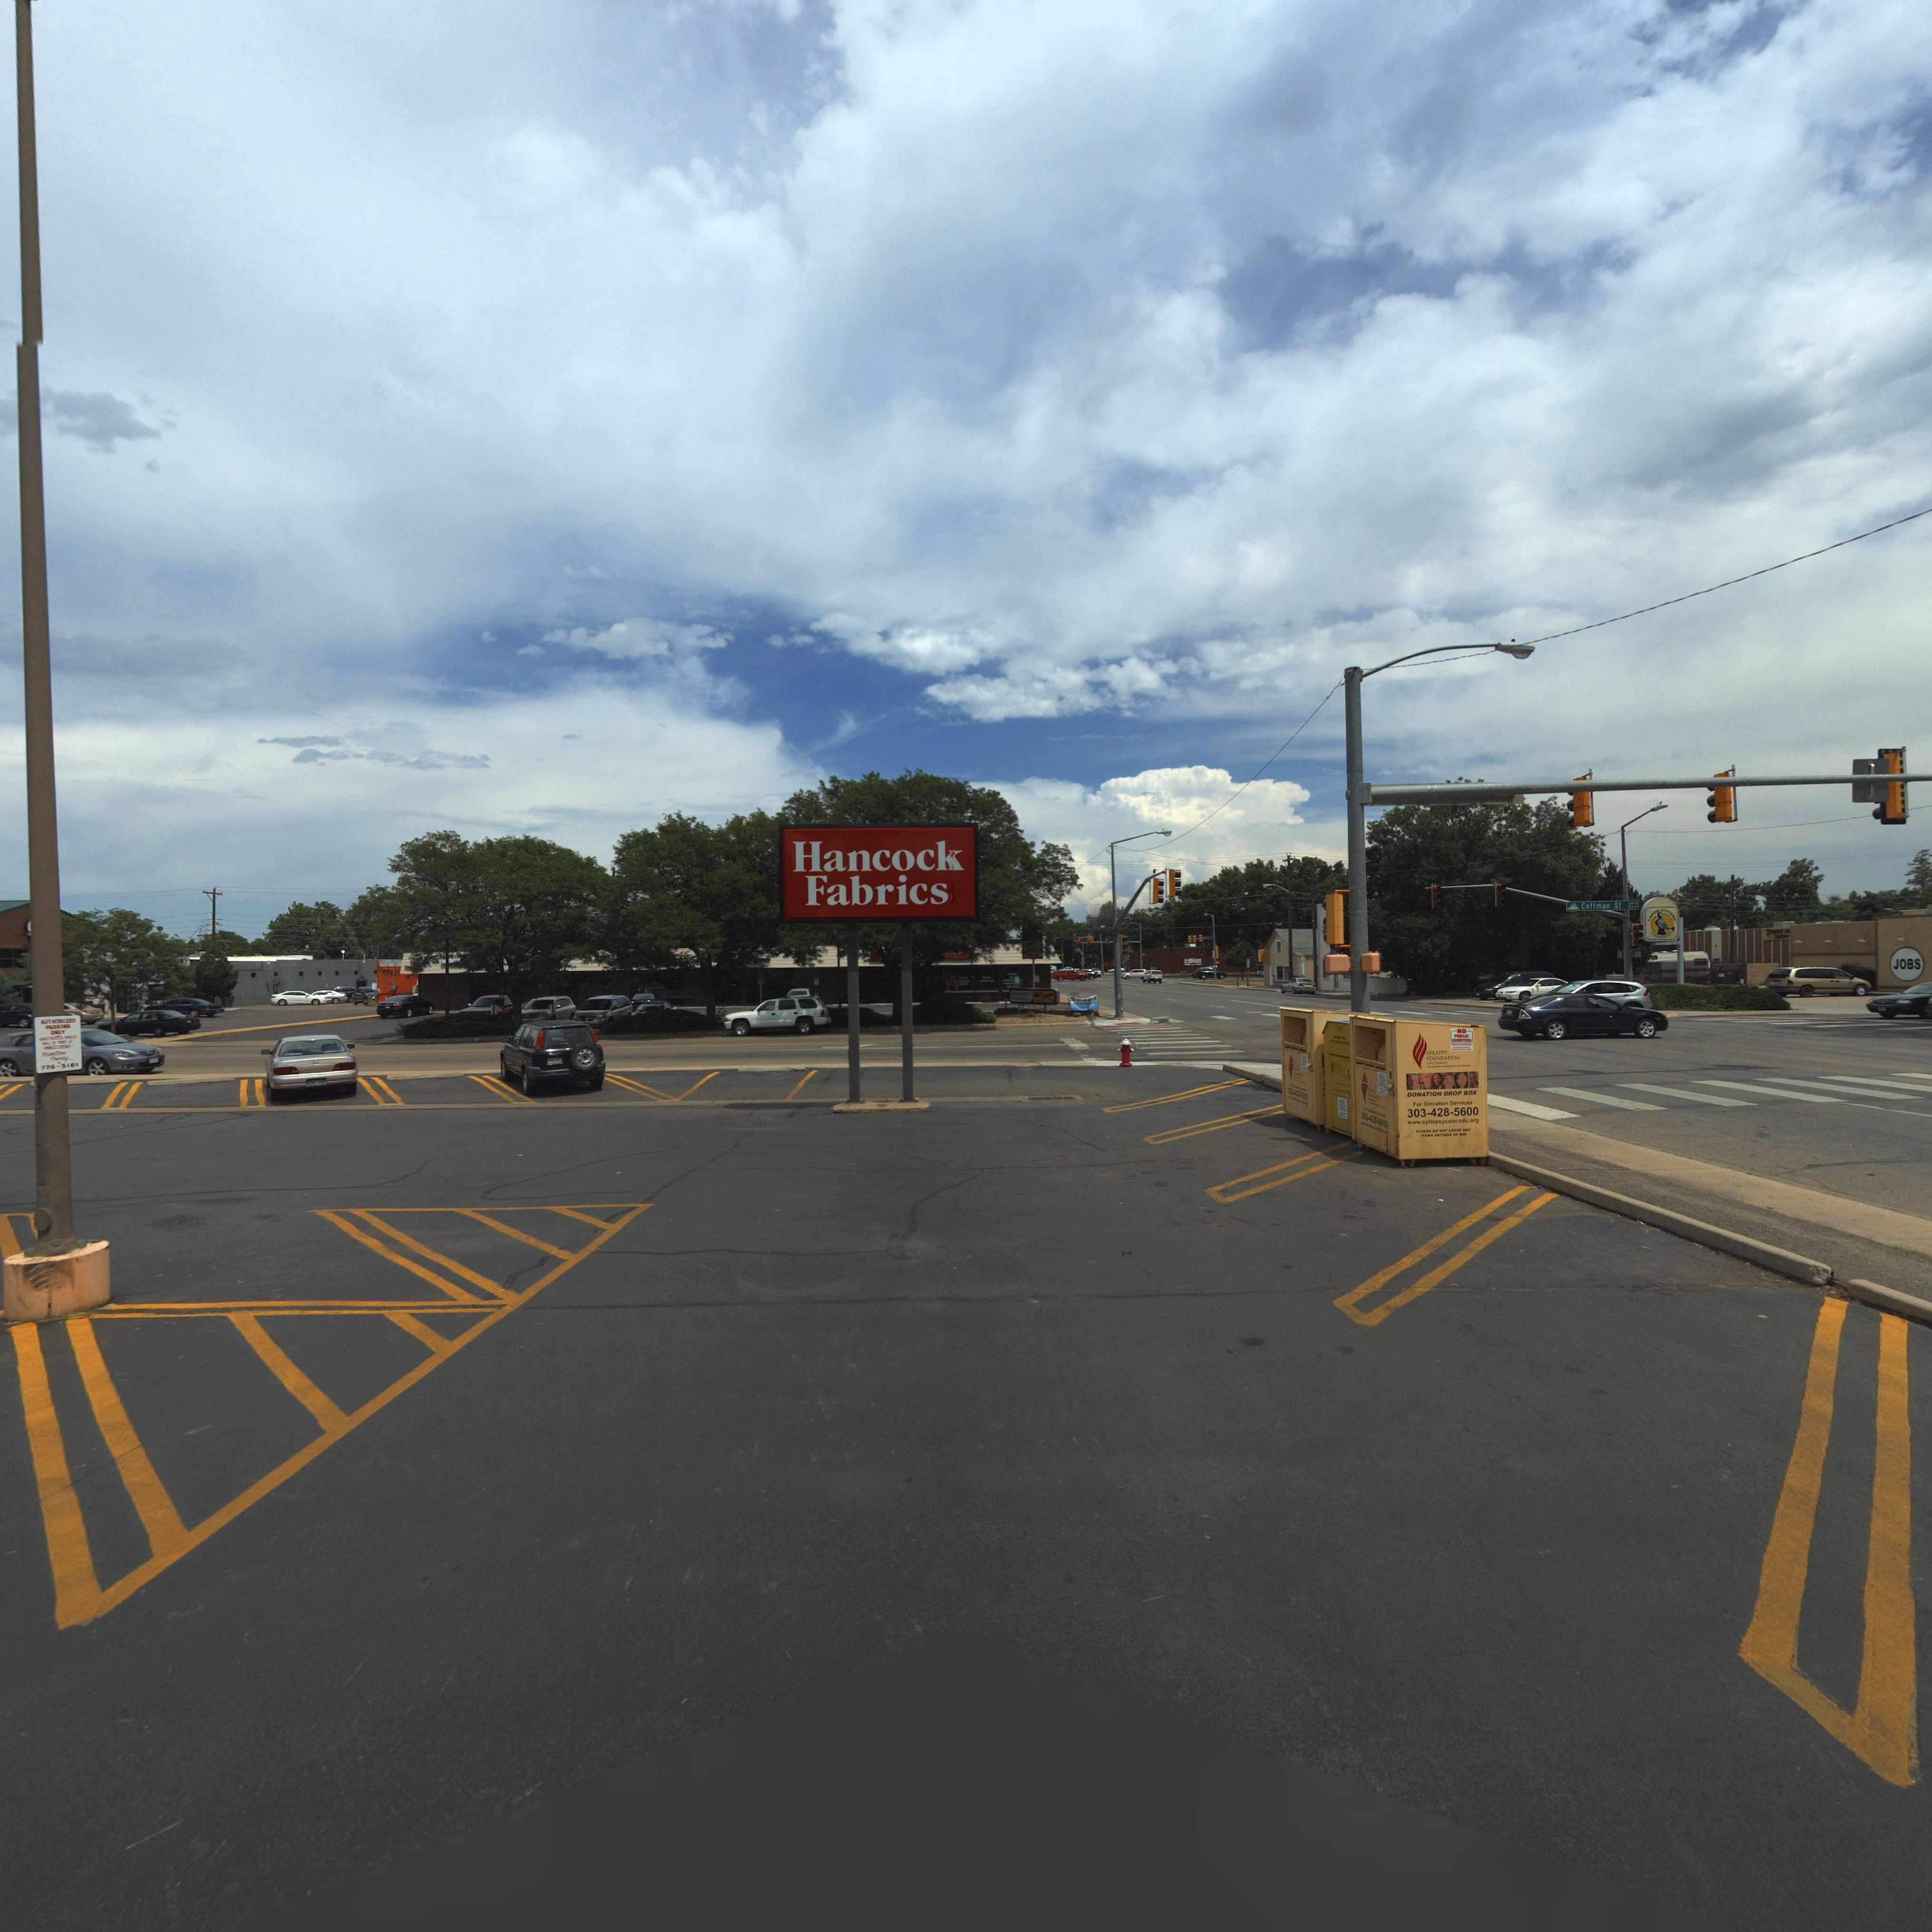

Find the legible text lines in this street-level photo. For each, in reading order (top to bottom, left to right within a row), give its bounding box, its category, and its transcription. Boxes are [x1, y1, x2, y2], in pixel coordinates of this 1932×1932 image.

[792, 839, 966, 872] BusinessName: Hancoc*
[804, 874, 950, 906] BusinessName: Fabrics
[1580, 901, 1622, 909] StreetName: Coffman St
[1647, 908, 1676, 921] BusinessName: LA*** SY*T***
[1033, 991, 1042, 999] BusinessName: DELI
[1042, 992, 1053, 999] BusinessName: **O*O